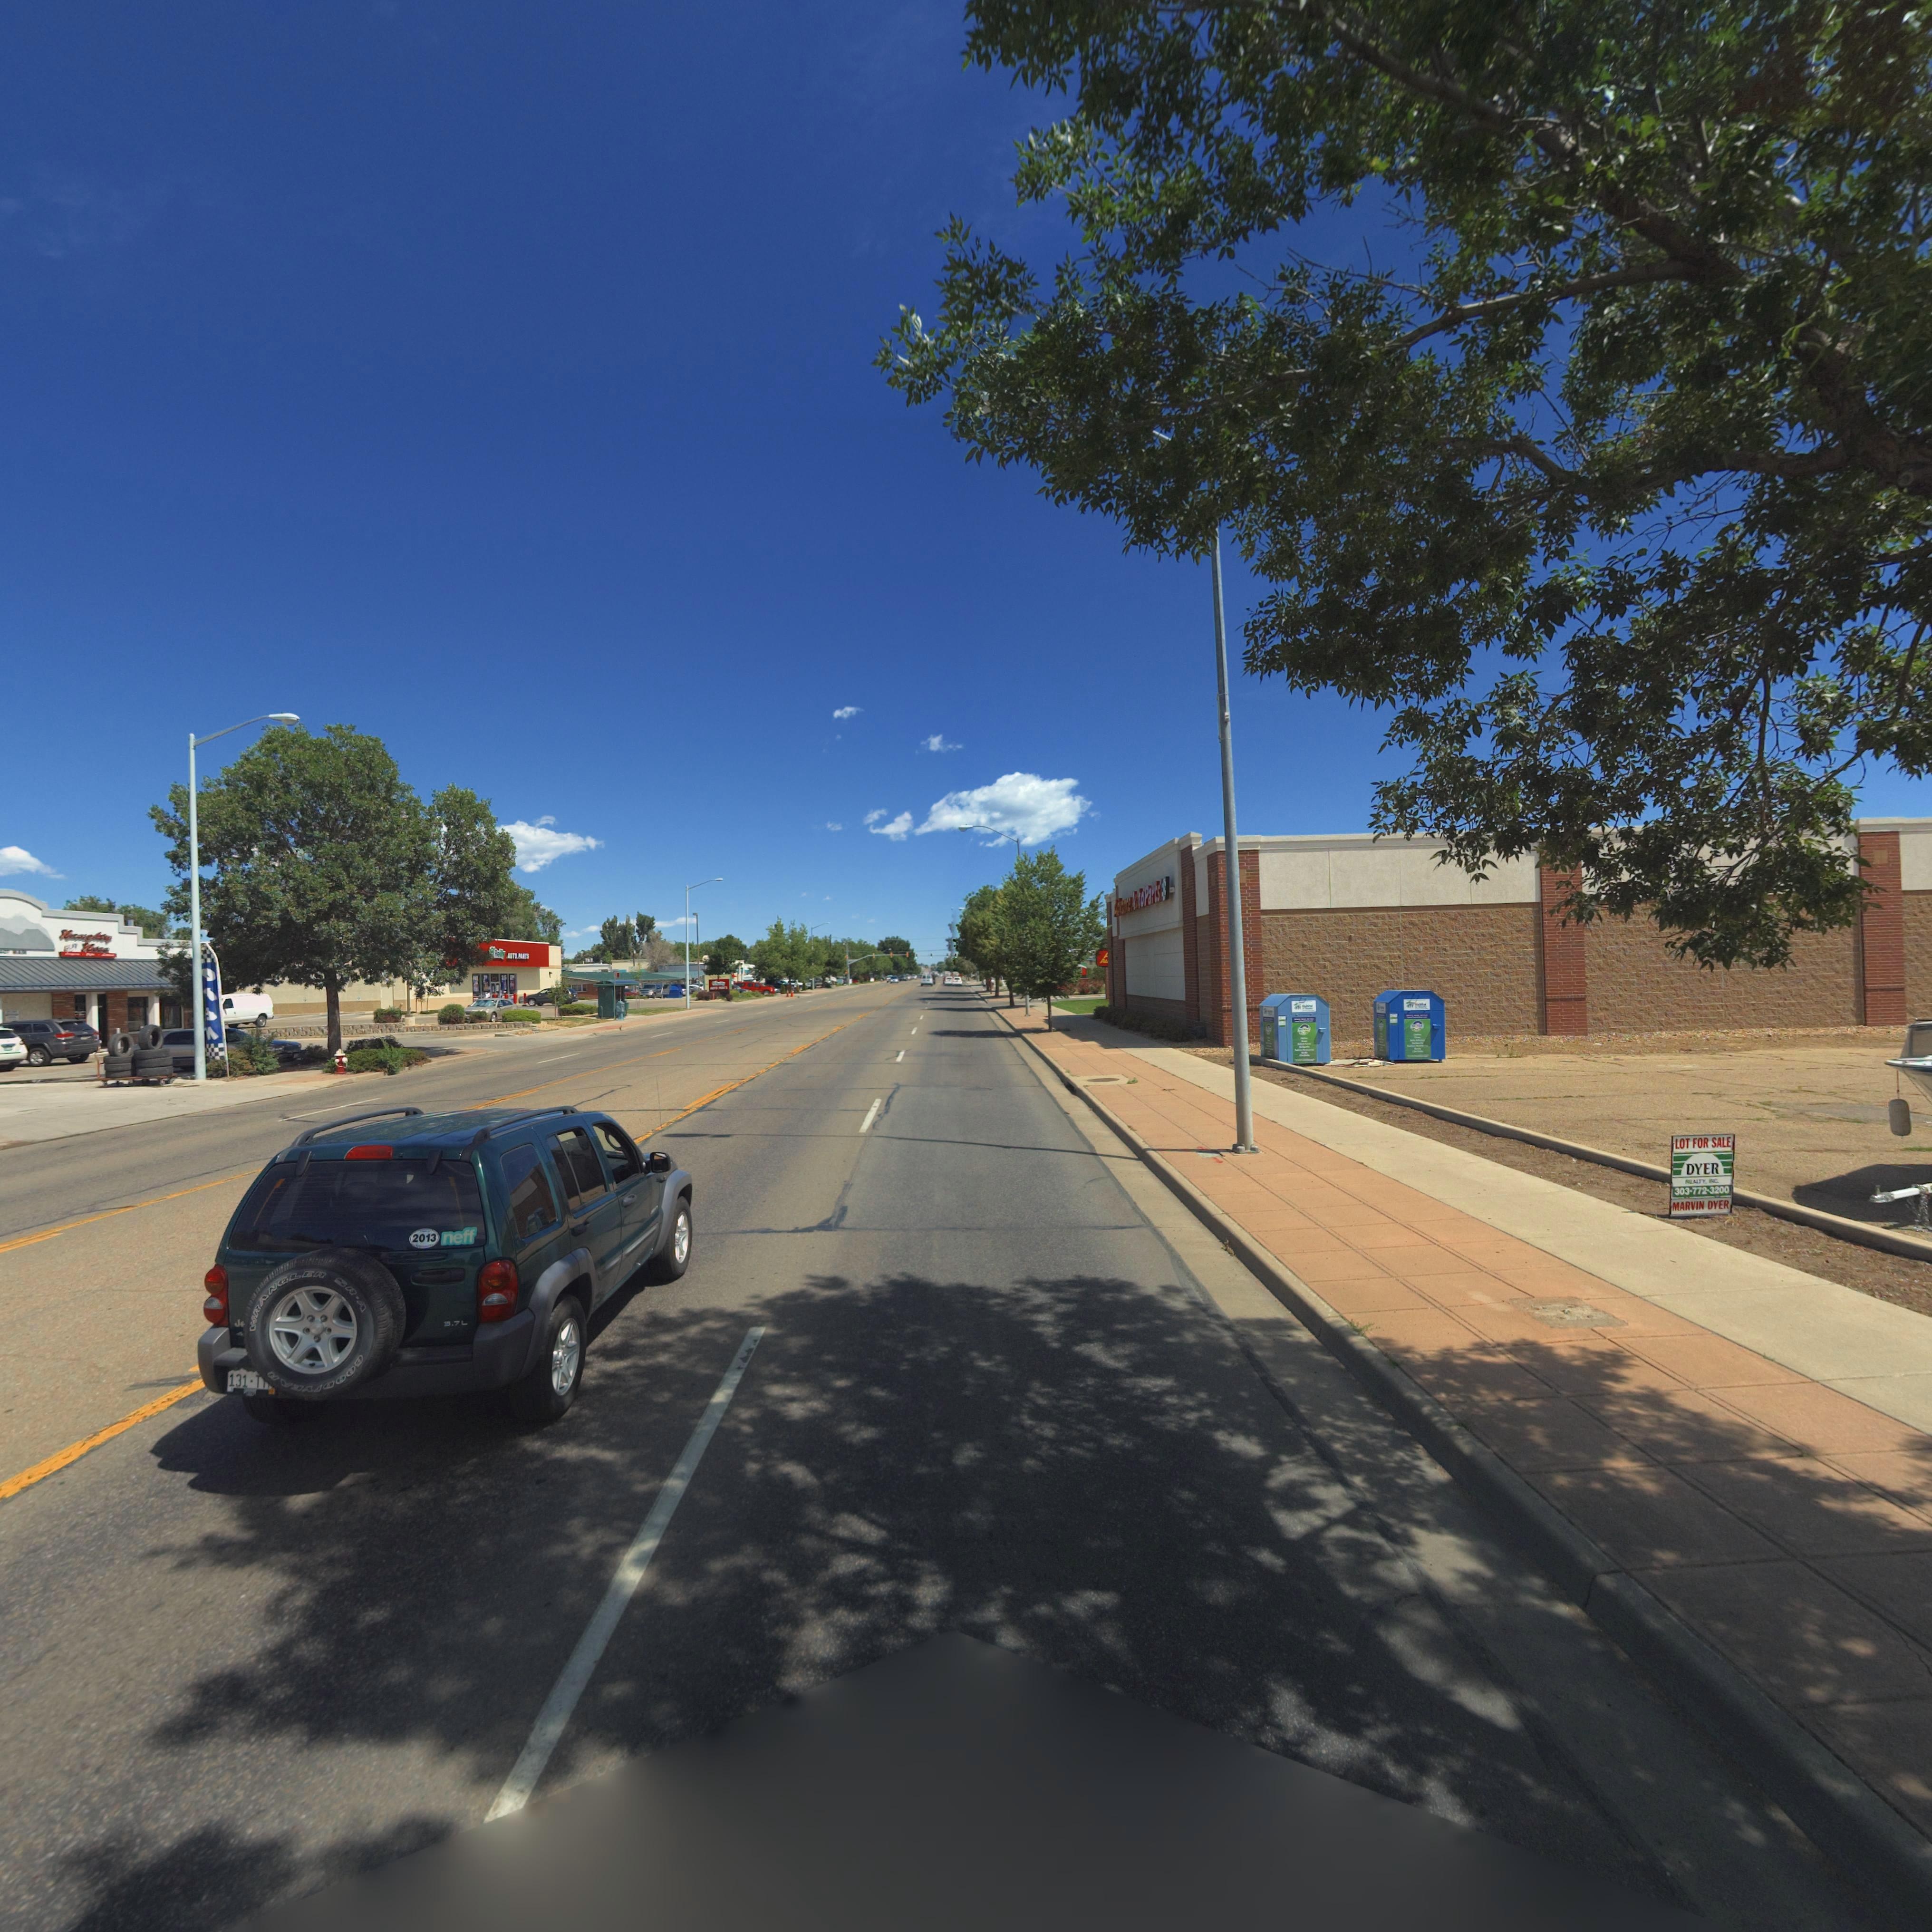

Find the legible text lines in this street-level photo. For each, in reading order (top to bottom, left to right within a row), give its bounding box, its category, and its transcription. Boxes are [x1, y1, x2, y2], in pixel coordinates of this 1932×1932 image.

[1113, 879, 1162, 918] BusinessName: *****ceA*toParts
[58, 928, 113, 943] BusinessName: na*g***
[80, 942, 109, 953] BusinessName: n*c*
[489, 946, 529, 959] BusinessName: *R*i*y AUTO PA*TS
[1099, 958, 1104, 963] BusinessName: A